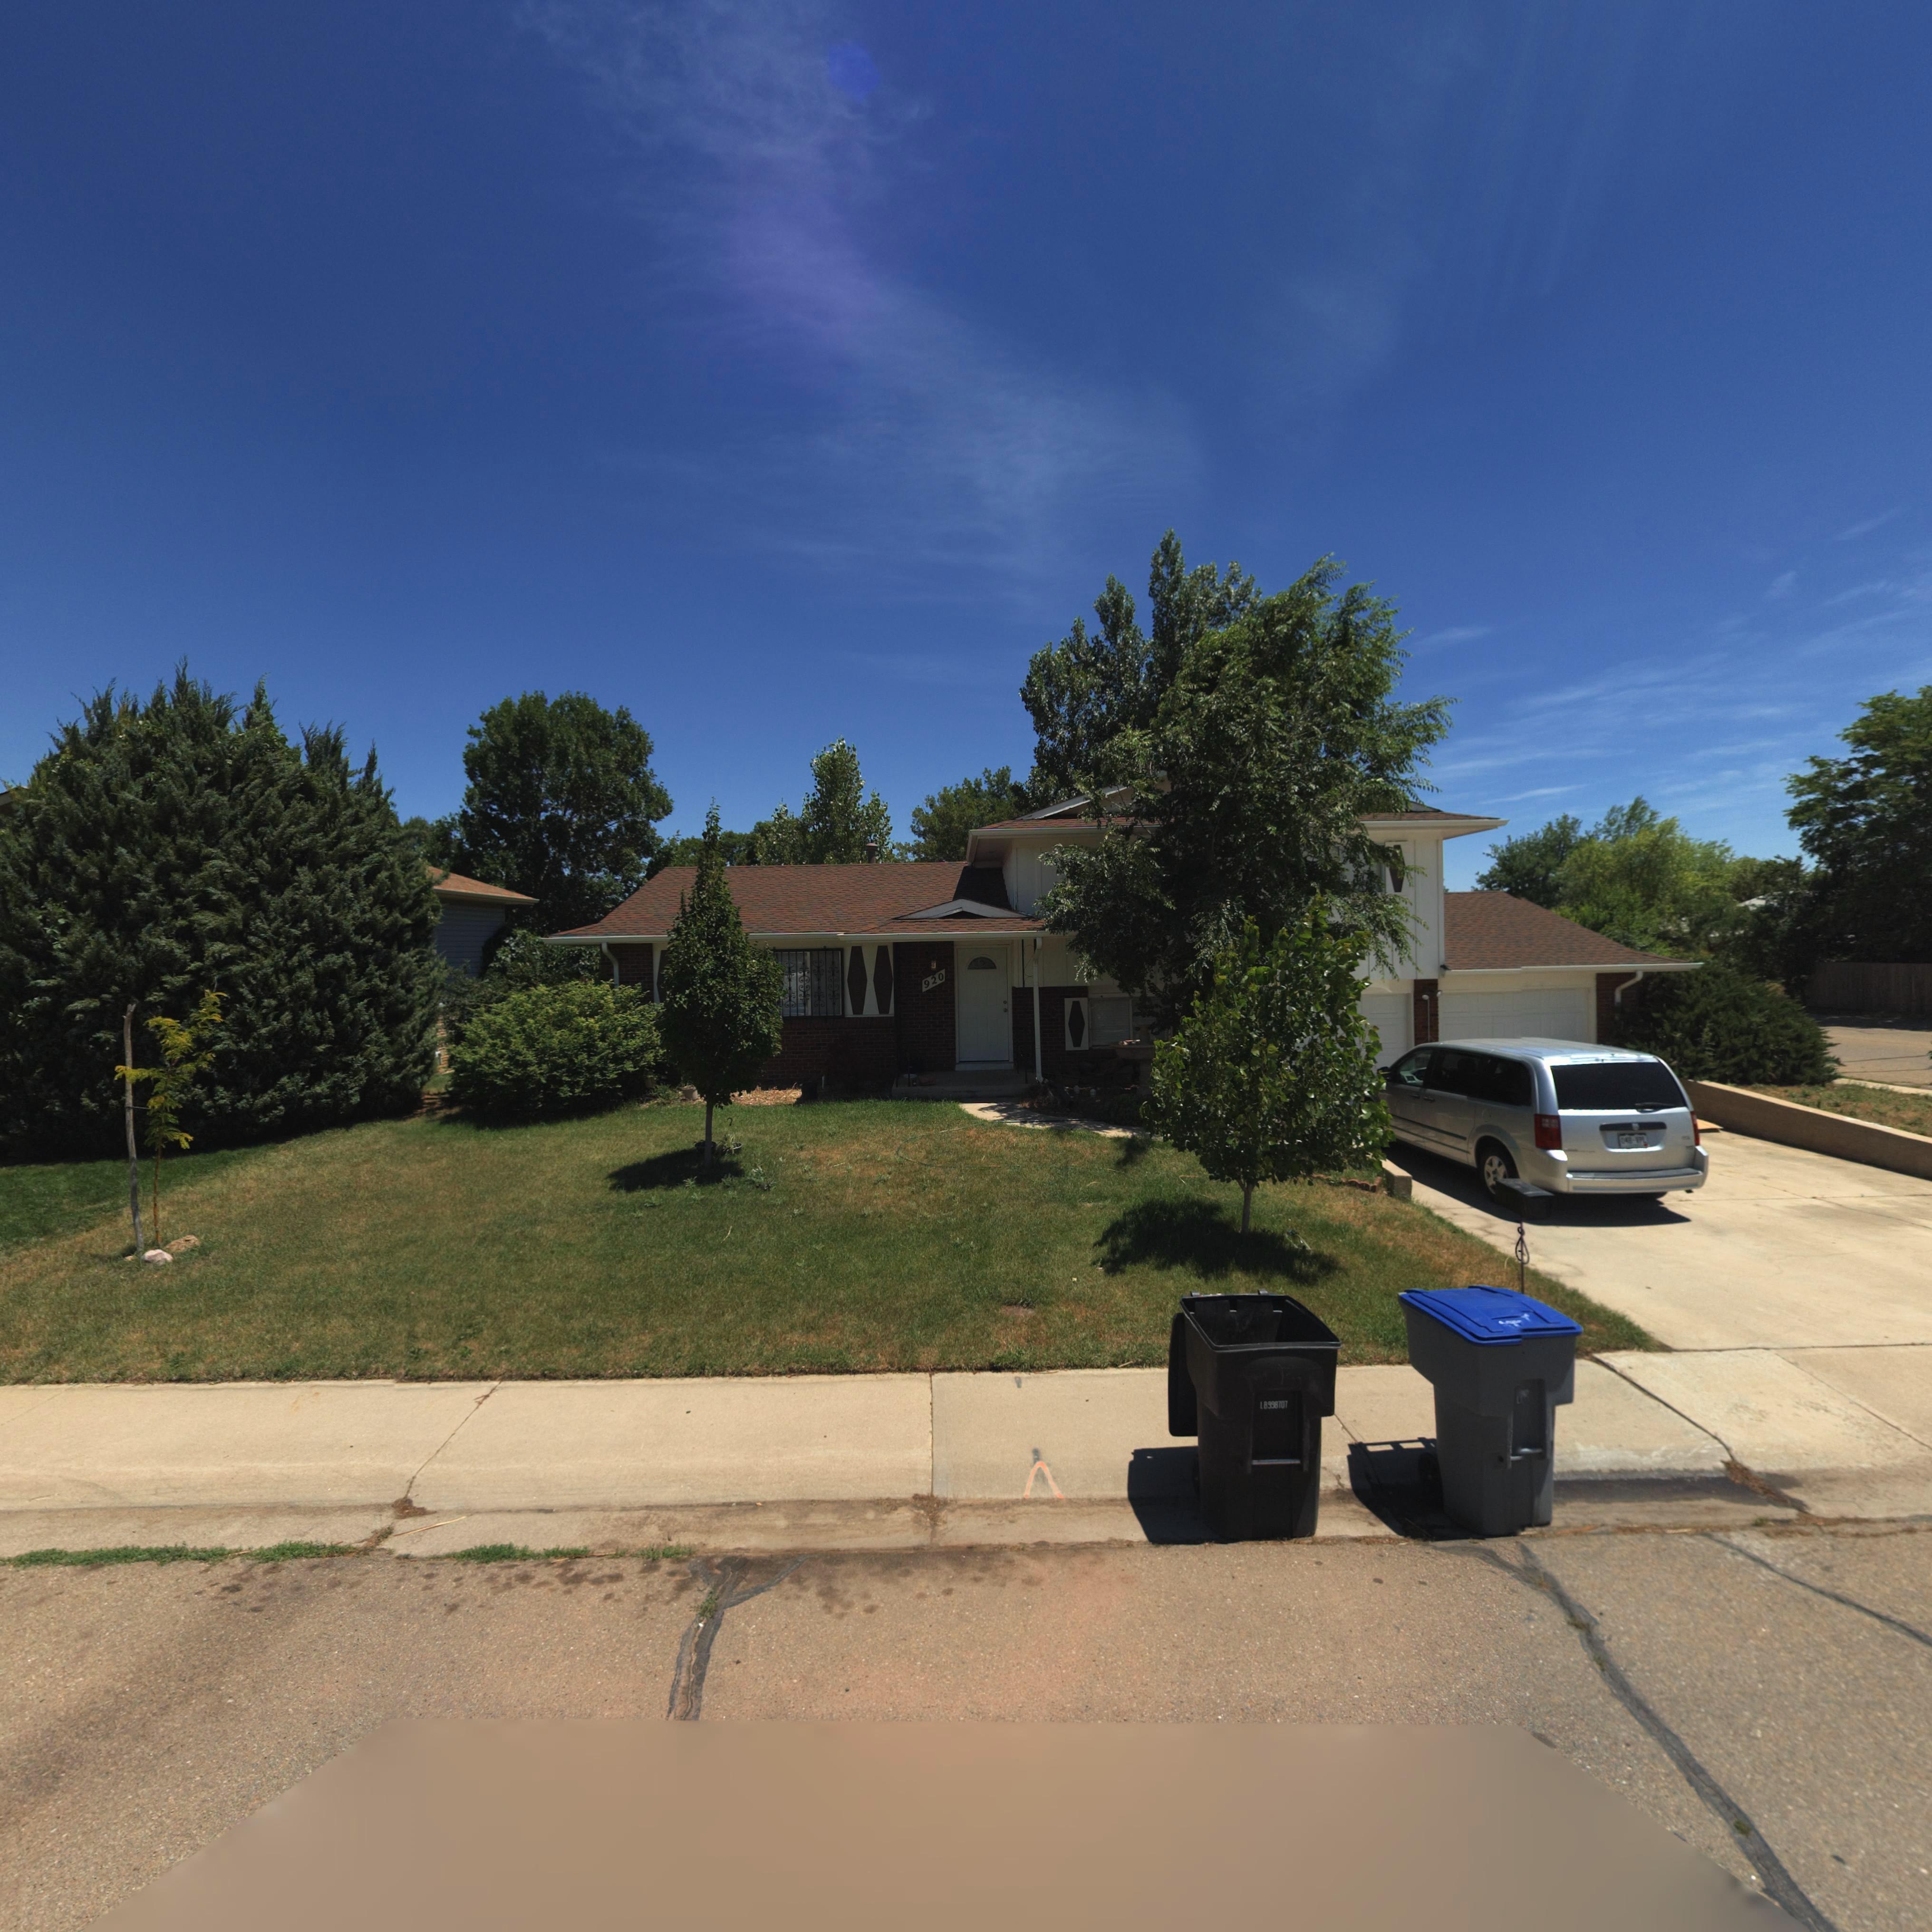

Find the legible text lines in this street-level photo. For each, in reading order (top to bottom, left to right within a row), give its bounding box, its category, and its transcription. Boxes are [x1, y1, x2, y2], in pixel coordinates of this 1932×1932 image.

[924, 972, 944, 989] StreetNumber: 920